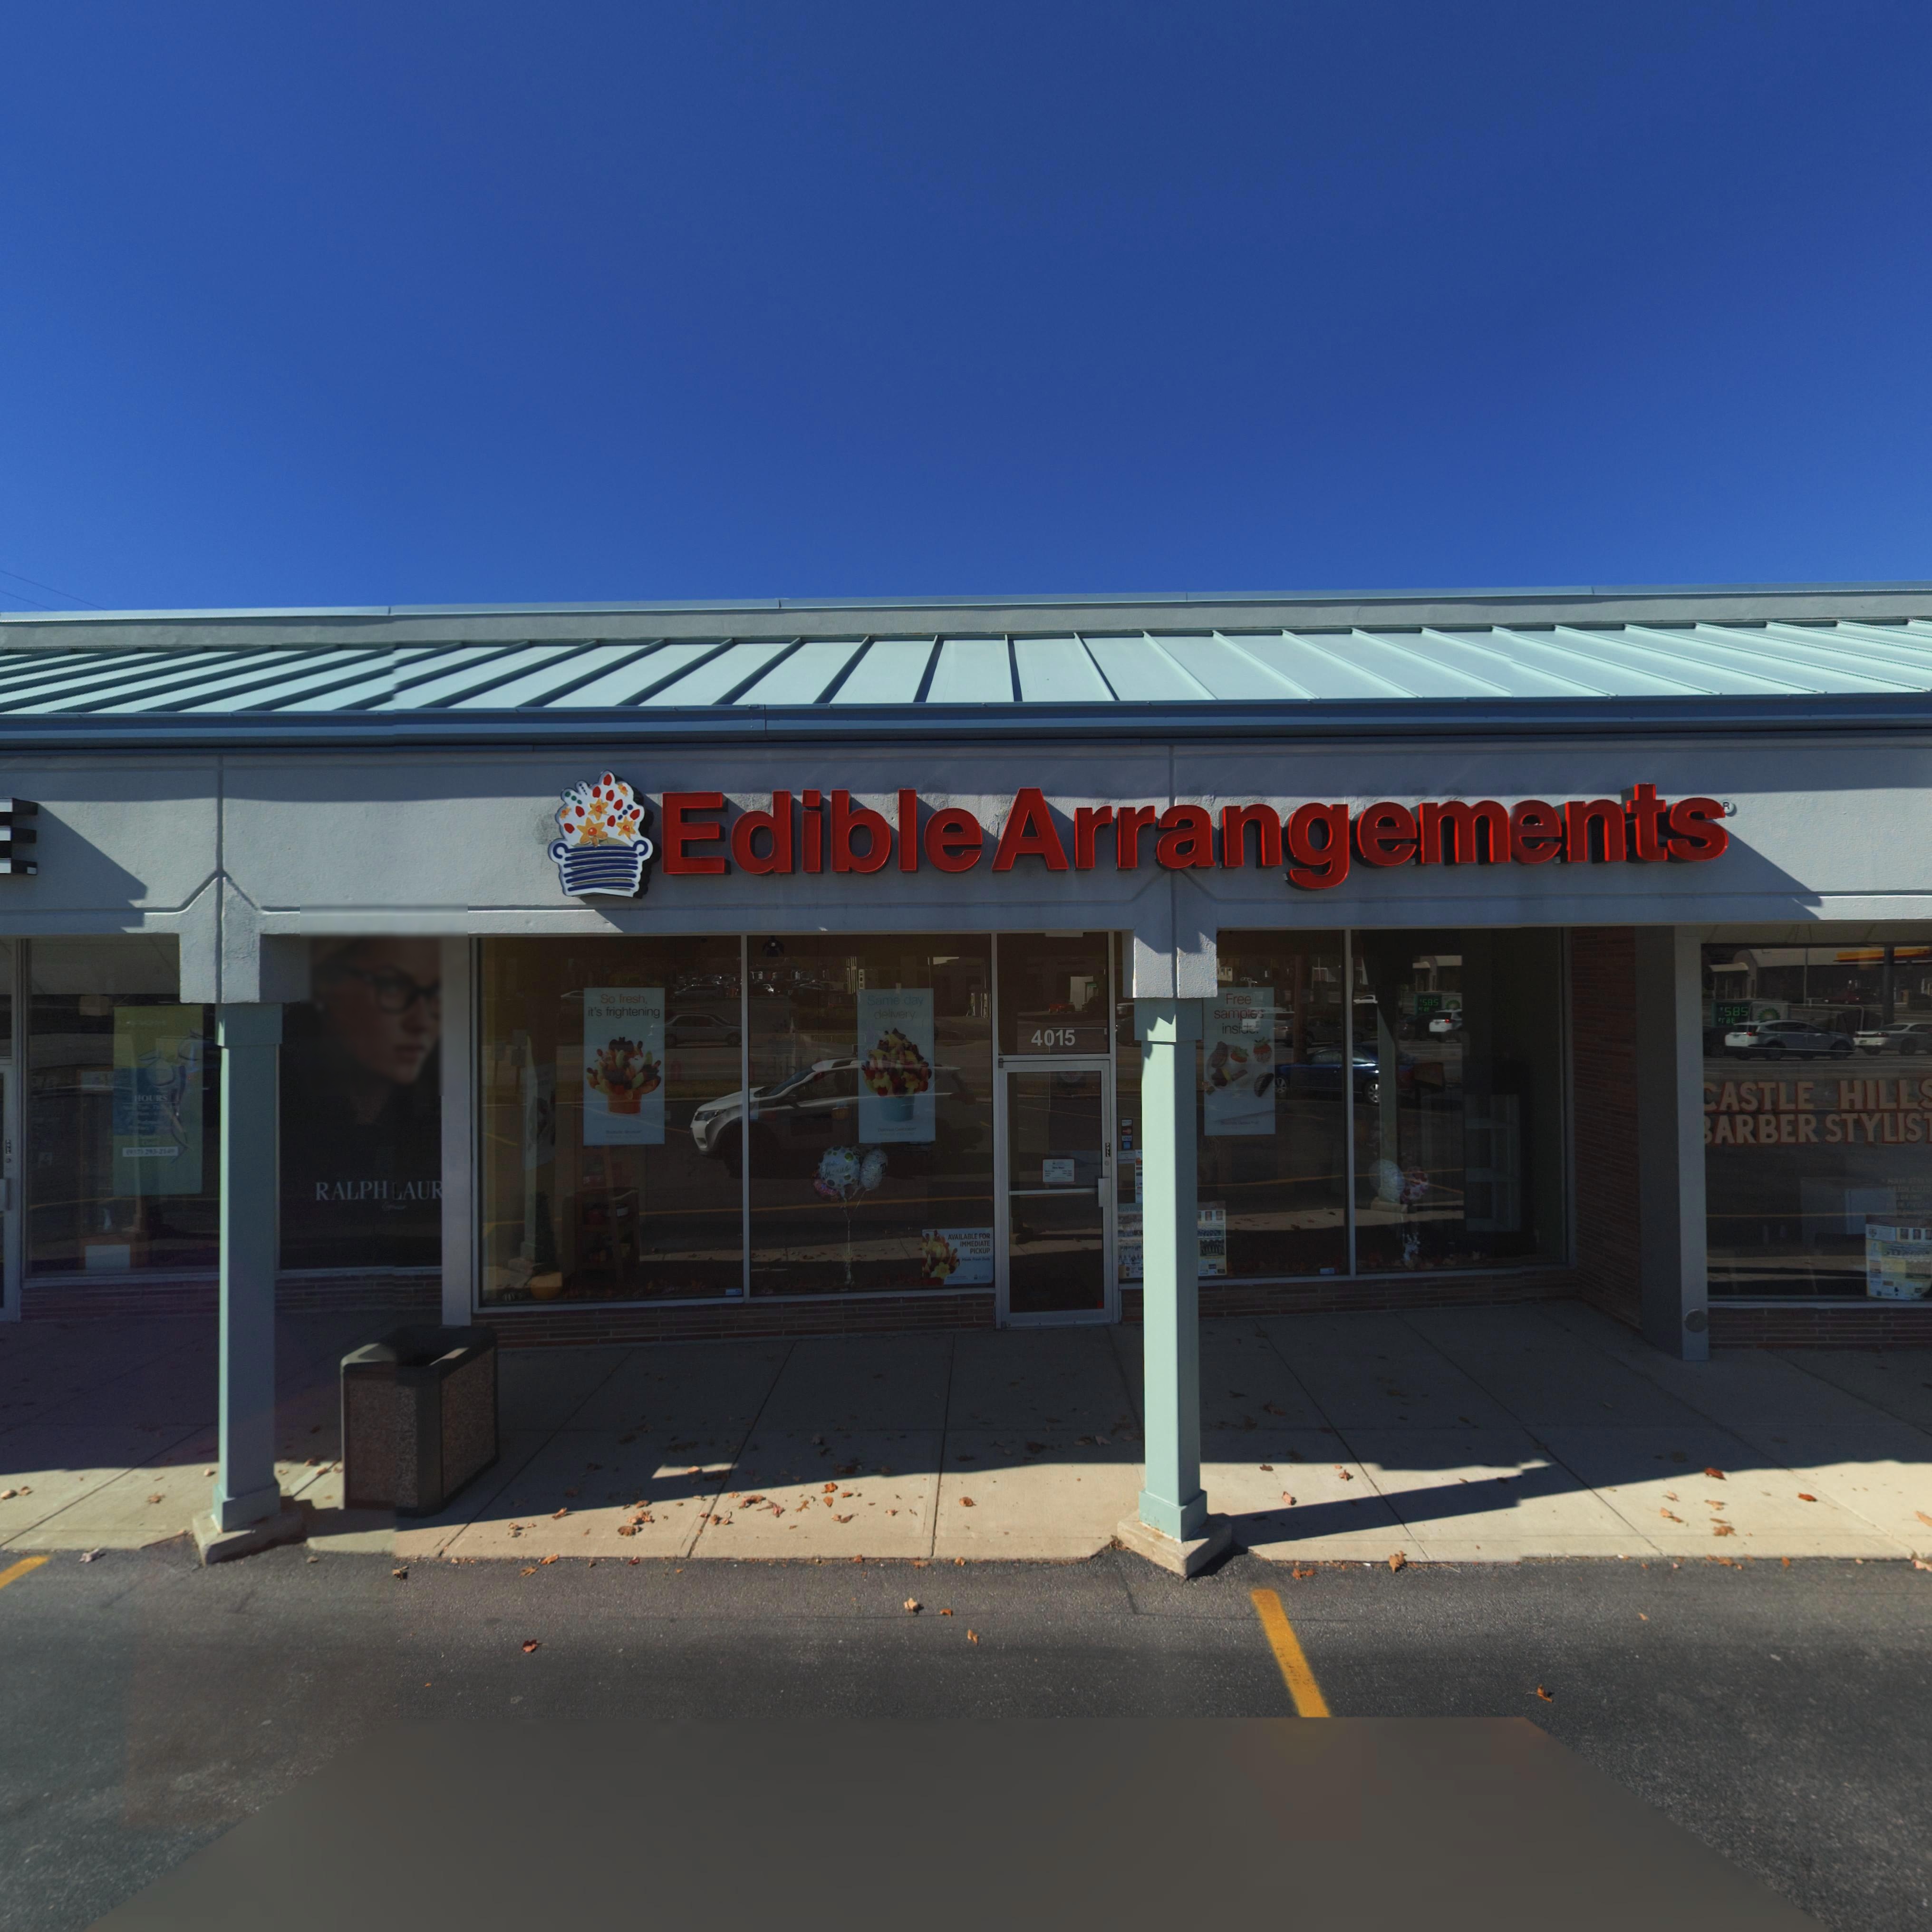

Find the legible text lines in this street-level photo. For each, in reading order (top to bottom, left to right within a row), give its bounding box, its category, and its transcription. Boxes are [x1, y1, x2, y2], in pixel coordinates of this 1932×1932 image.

[659, 780, 1733, 892] BusinessName: Edible Arrangements
[599, 993, 646, 1005] None: So fresh
[867, 994, 926, 1008] None: Same day
[1226, 993, 1252, 1005] None: Free
[587, 1005, 661, 1019] None: it's frightening
[873, 1008, 917, 1023] None: delivery
[1213, 1007, 1264, 1022] None: samples
[1221, 1022, 1257, 1035] None: inside
[1030, 1028, 1077, 1047] StreetNumber: 4015
[133, 1094, 169, 1103] None: HOURS
[1716, 1078, 1920, 1113] BusinessName: ASTLE HILL
[1712, 1111, 1924, 1145] BusinessName: ARBER STYLIS
[314, 1180, 444, 1202] None: RALPH LAUR
[947, 1232, 991, 1240] None: AVAILABLE FOR
[959, 1240, 991, 1248] None: IMMEDIATE
[969, 1247, 991, 1255] None: PICKUP